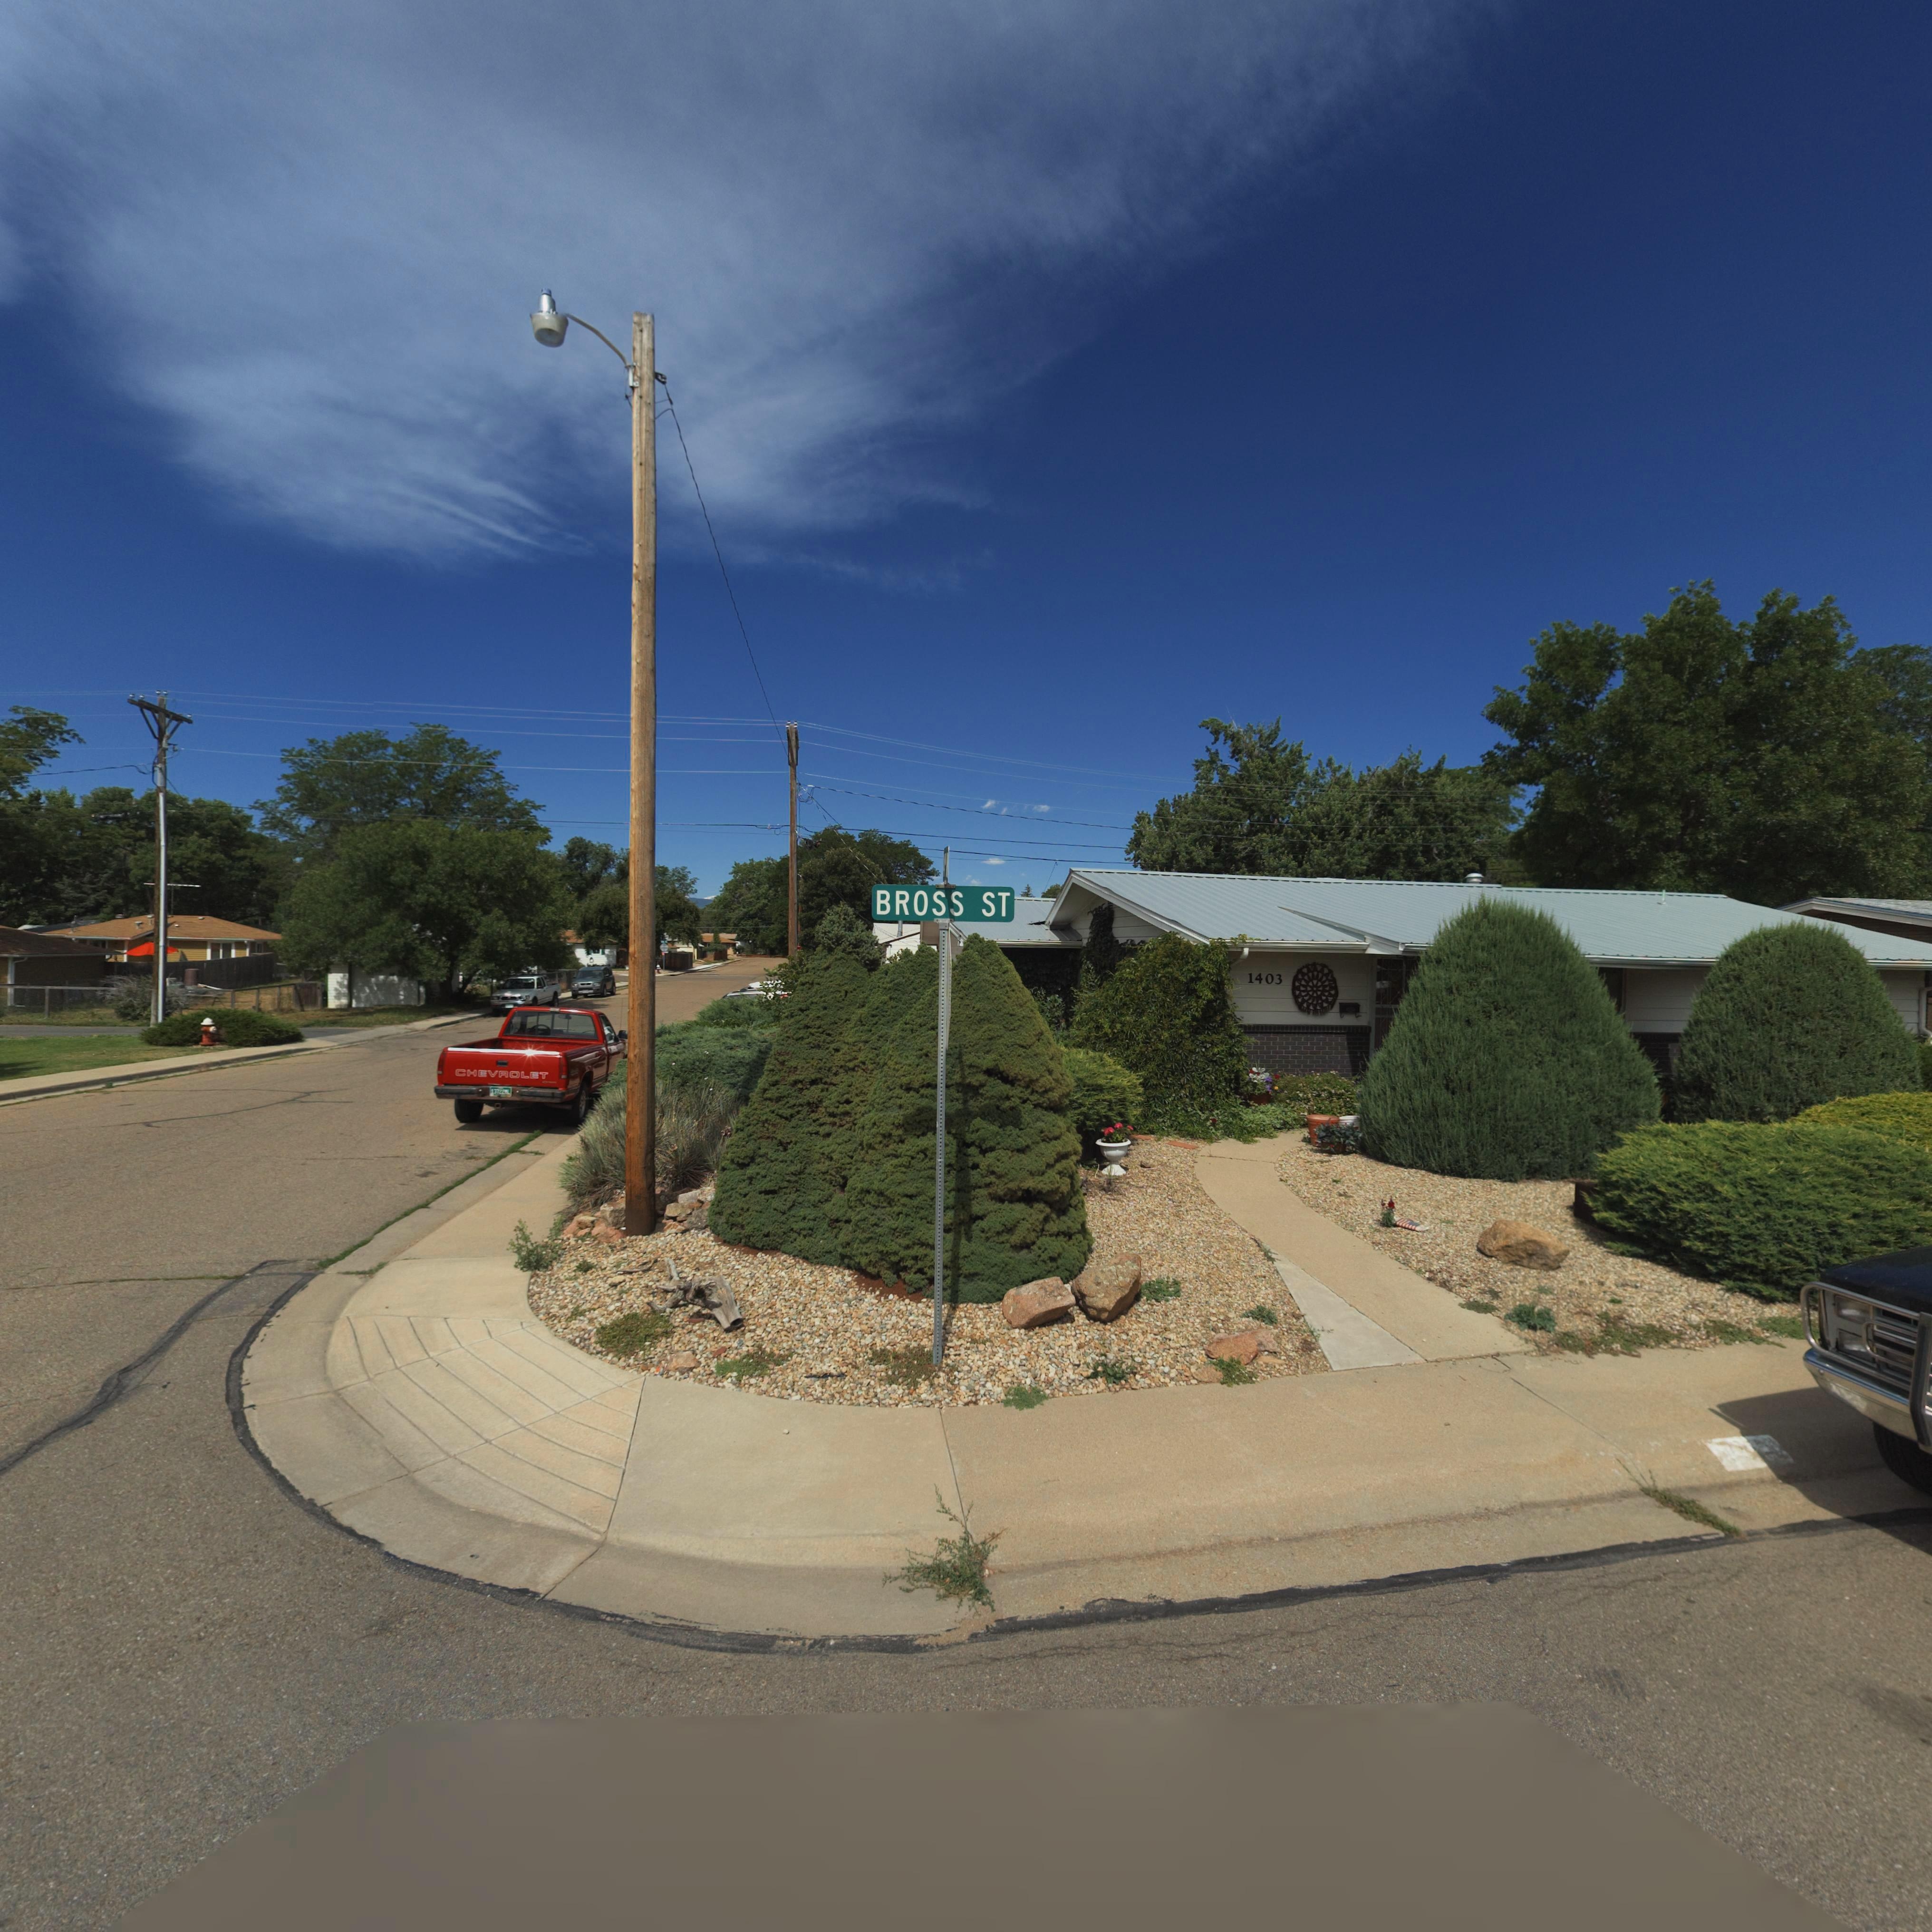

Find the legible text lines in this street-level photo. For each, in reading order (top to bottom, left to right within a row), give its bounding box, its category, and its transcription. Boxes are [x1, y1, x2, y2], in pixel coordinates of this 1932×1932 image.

[876, 889, 1011, 918] StreetName: BROSS ST
[1247, 972, 1283, 985] StreetNumber: 1403